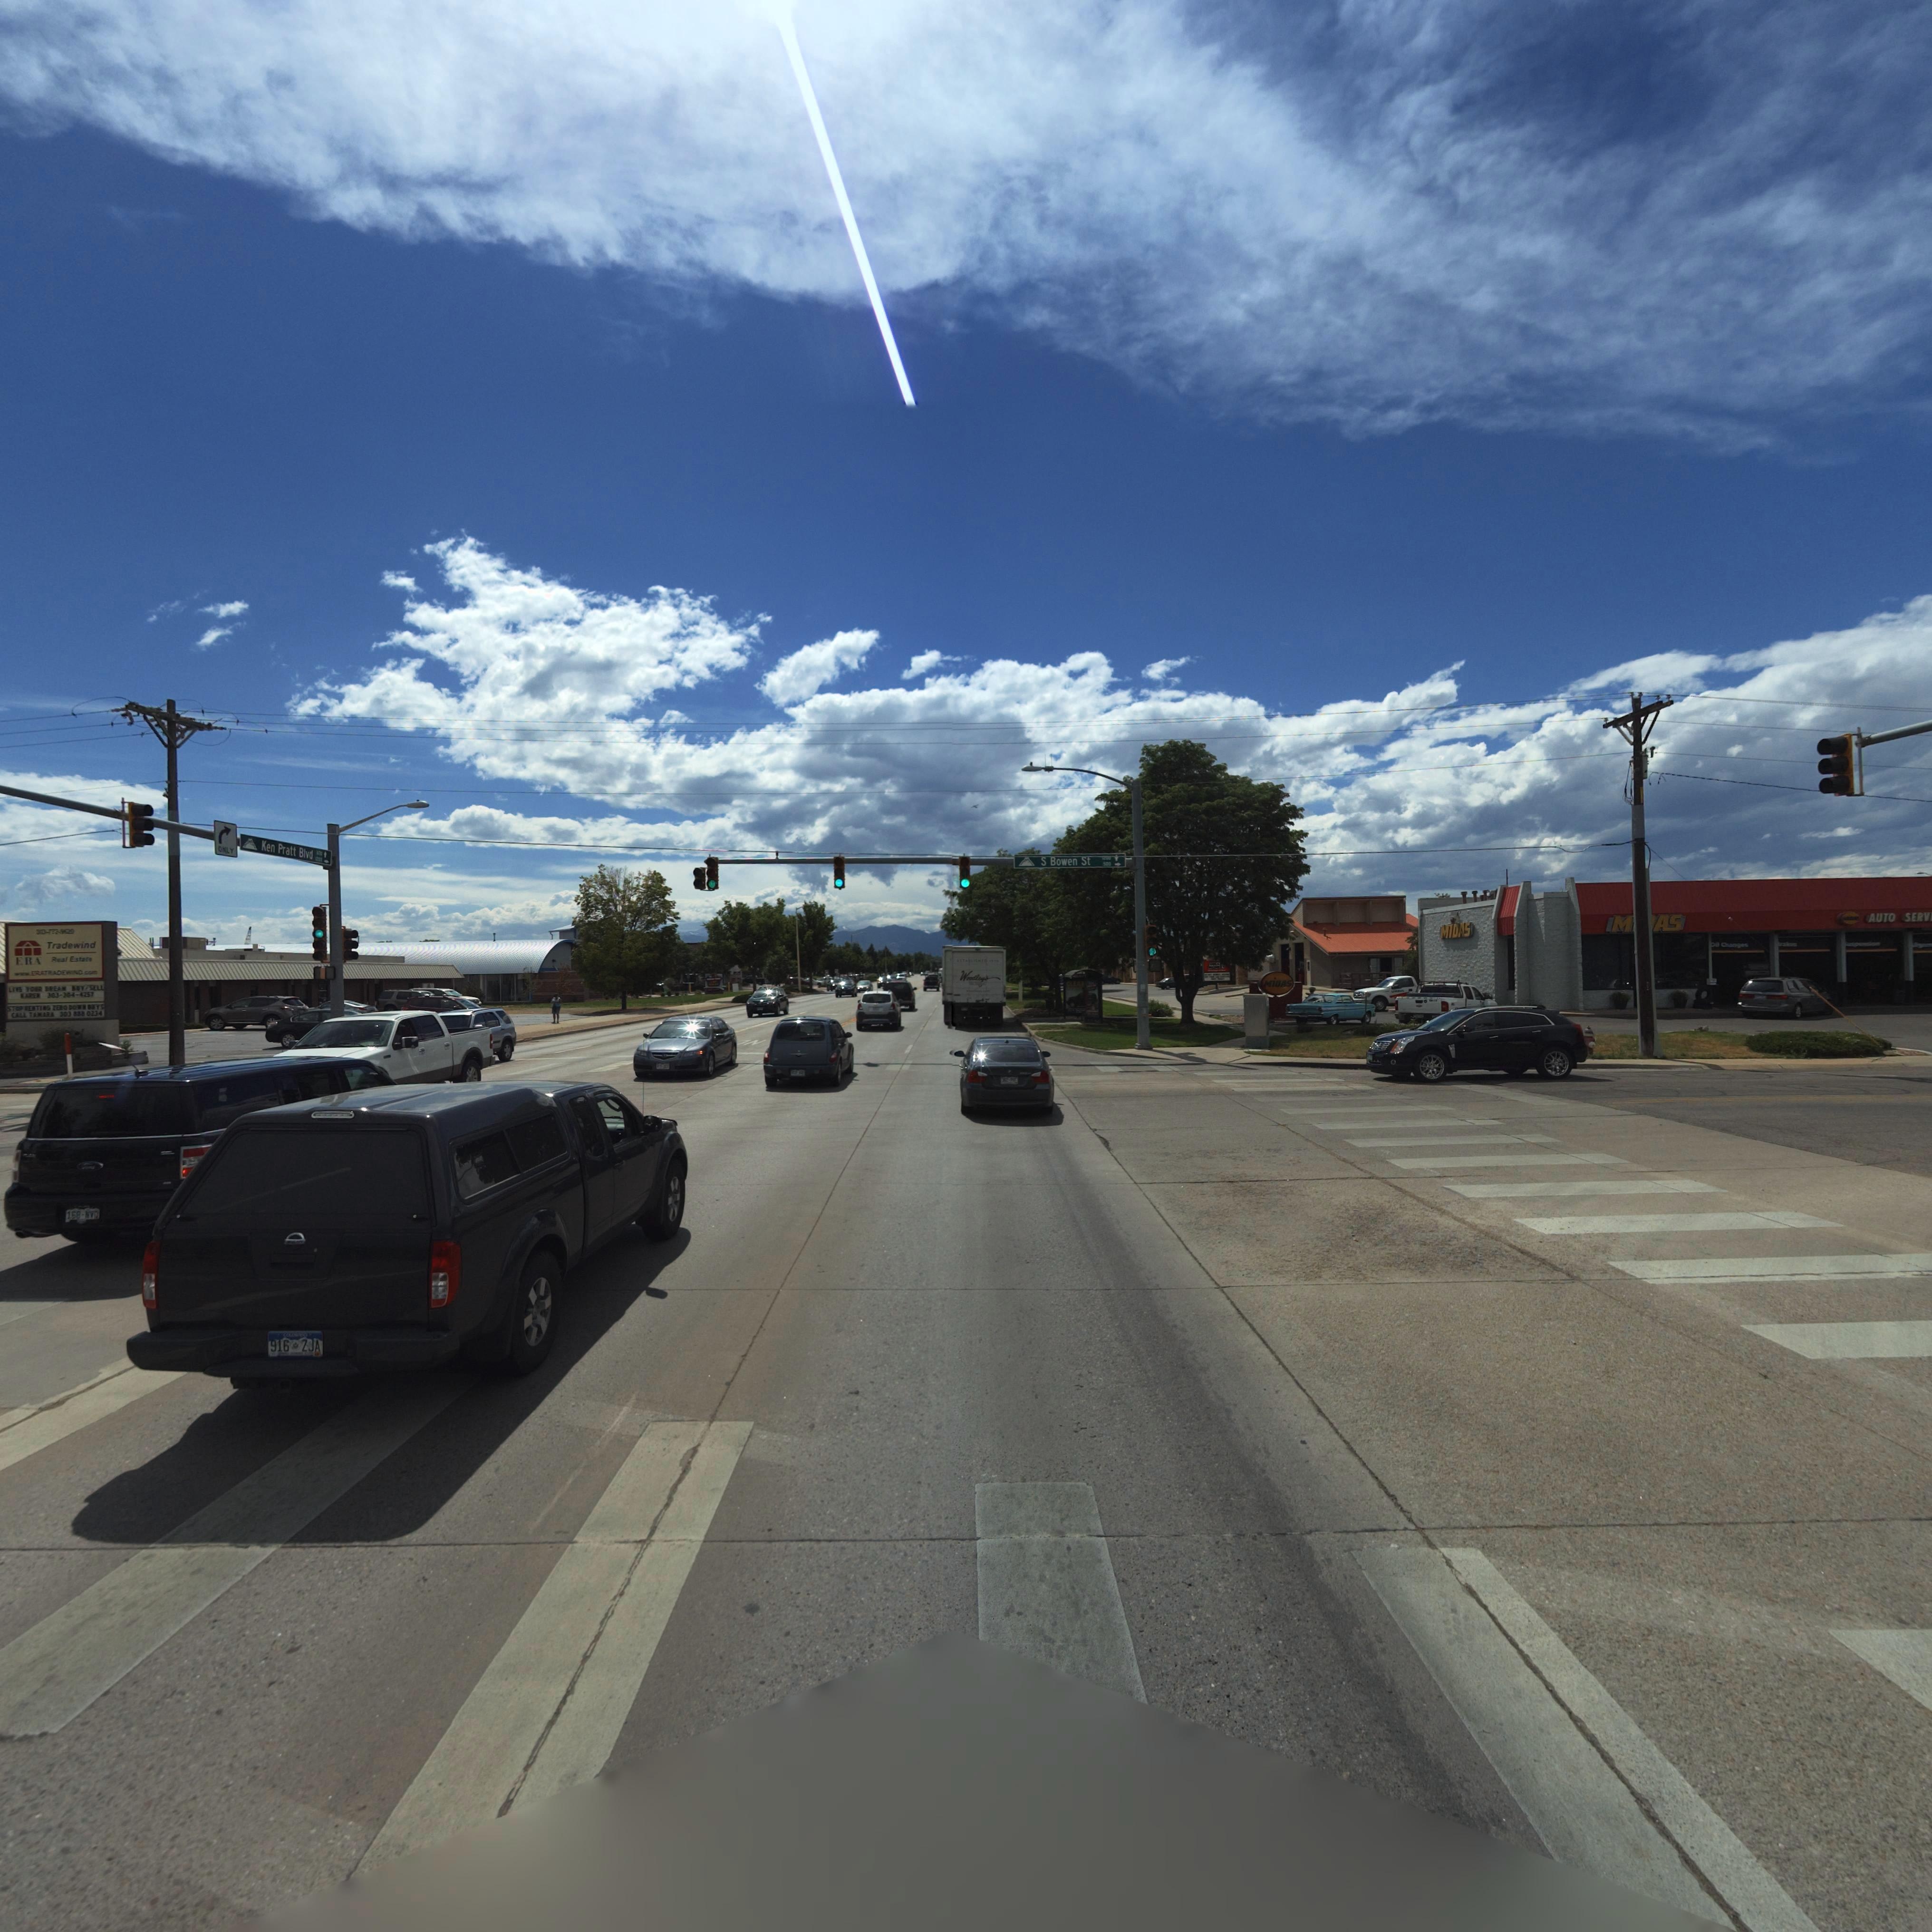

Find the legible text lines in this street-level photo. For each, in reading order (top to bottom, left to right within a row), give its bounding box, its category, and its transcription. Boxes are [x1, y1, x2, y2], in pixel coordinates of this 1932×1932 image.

[261, 839, 313, 860] StreetName: Ken Pratt Blvd
[316, 850, 323, 856] StreetNumberRange: **0
[314, 856, 330, 864] StreetNumberRange: 12**->
[1040, 856, 1091, 866] StreetName: S Bowen St
[1101, 855, 1111, 860] StreetNumberRange: 1200
[1102, 861, 1121, 866] StreetNumberRange: 500 ->
[1611, 914, 1682, 932] BusinessName: M**AS
[1439, 917, 1471, 939] BusinessName: MiDAS
[47, 941, 97, 949] BusinessName: Tradewind
[15, 956, 41, 966] BusinessName: ERA
[51, 956, 92, 963] BusinessName: Real Estate
[1208, 965, 1225, 969] BusinessName: MONKE*
[1263, 976, 1292, 987] BusinessName: MiDAS